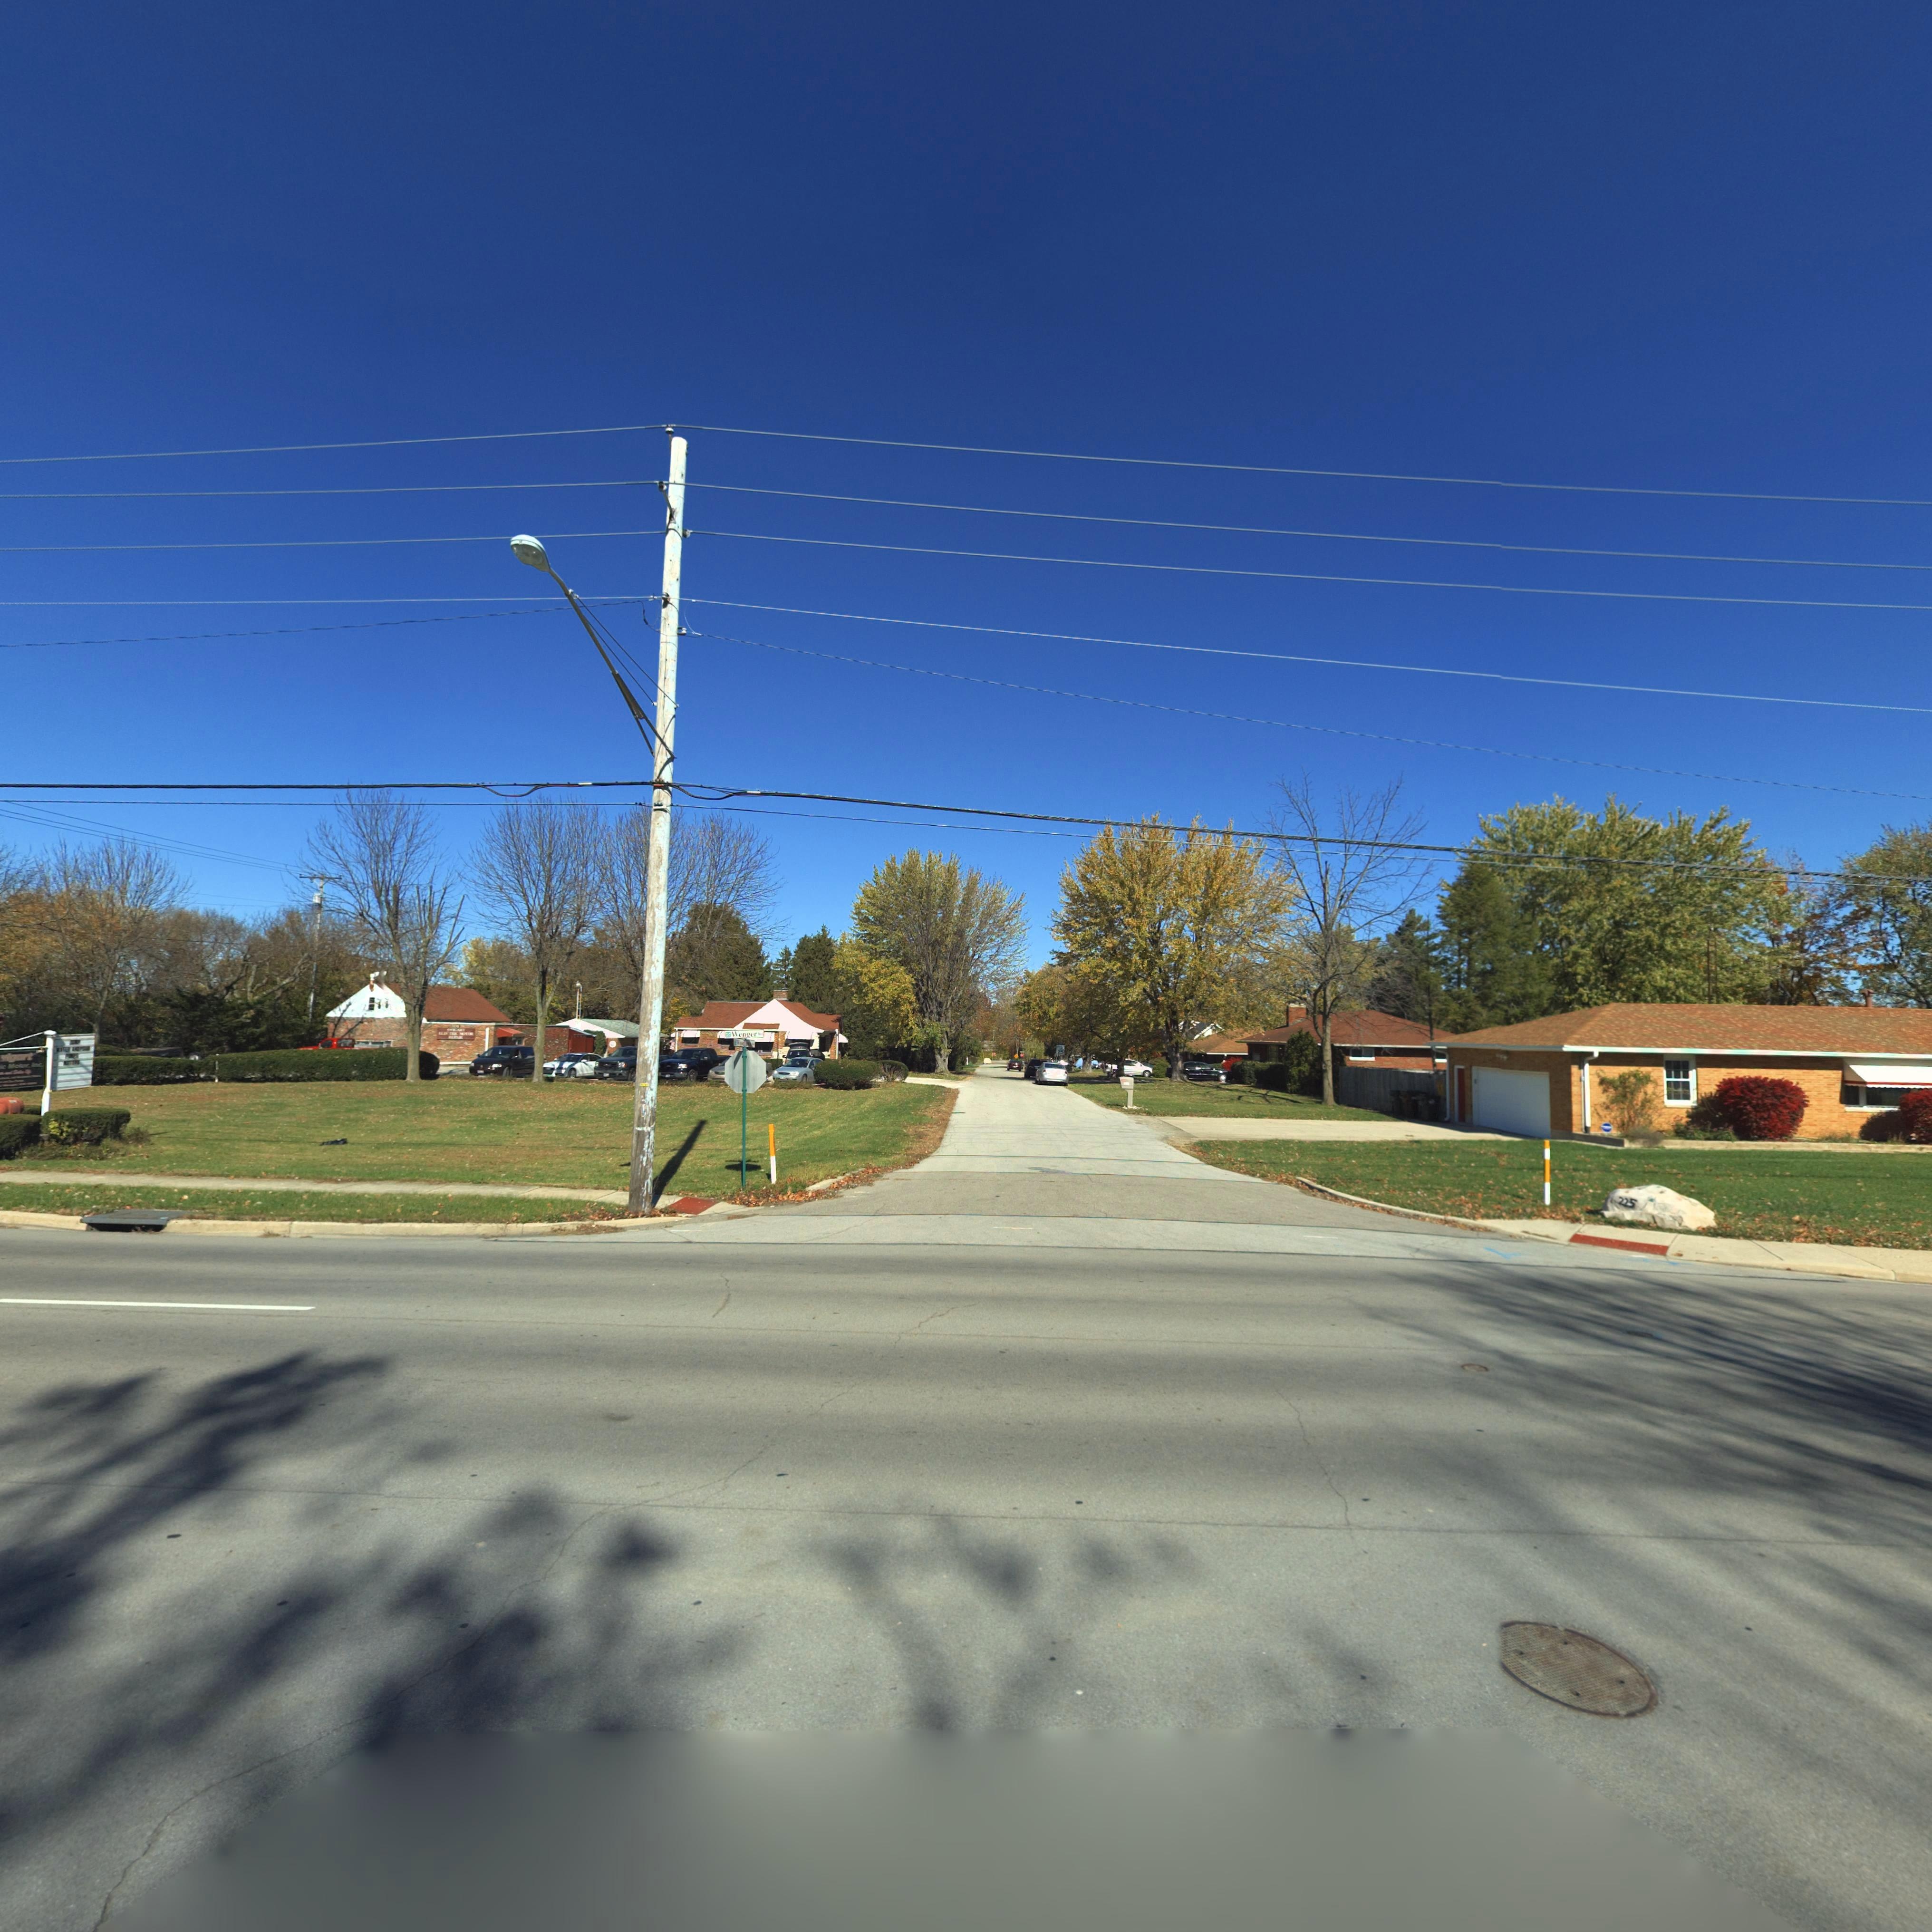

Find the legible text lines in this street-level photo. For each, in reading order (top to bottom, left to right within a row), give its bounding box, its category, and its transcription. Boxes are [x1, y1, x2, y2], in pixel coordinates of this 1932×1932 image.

[730, 1031, 758, 1040] StreetName: Wenger
[1617, 1196, 1638, 1209] StreetNumber: 225